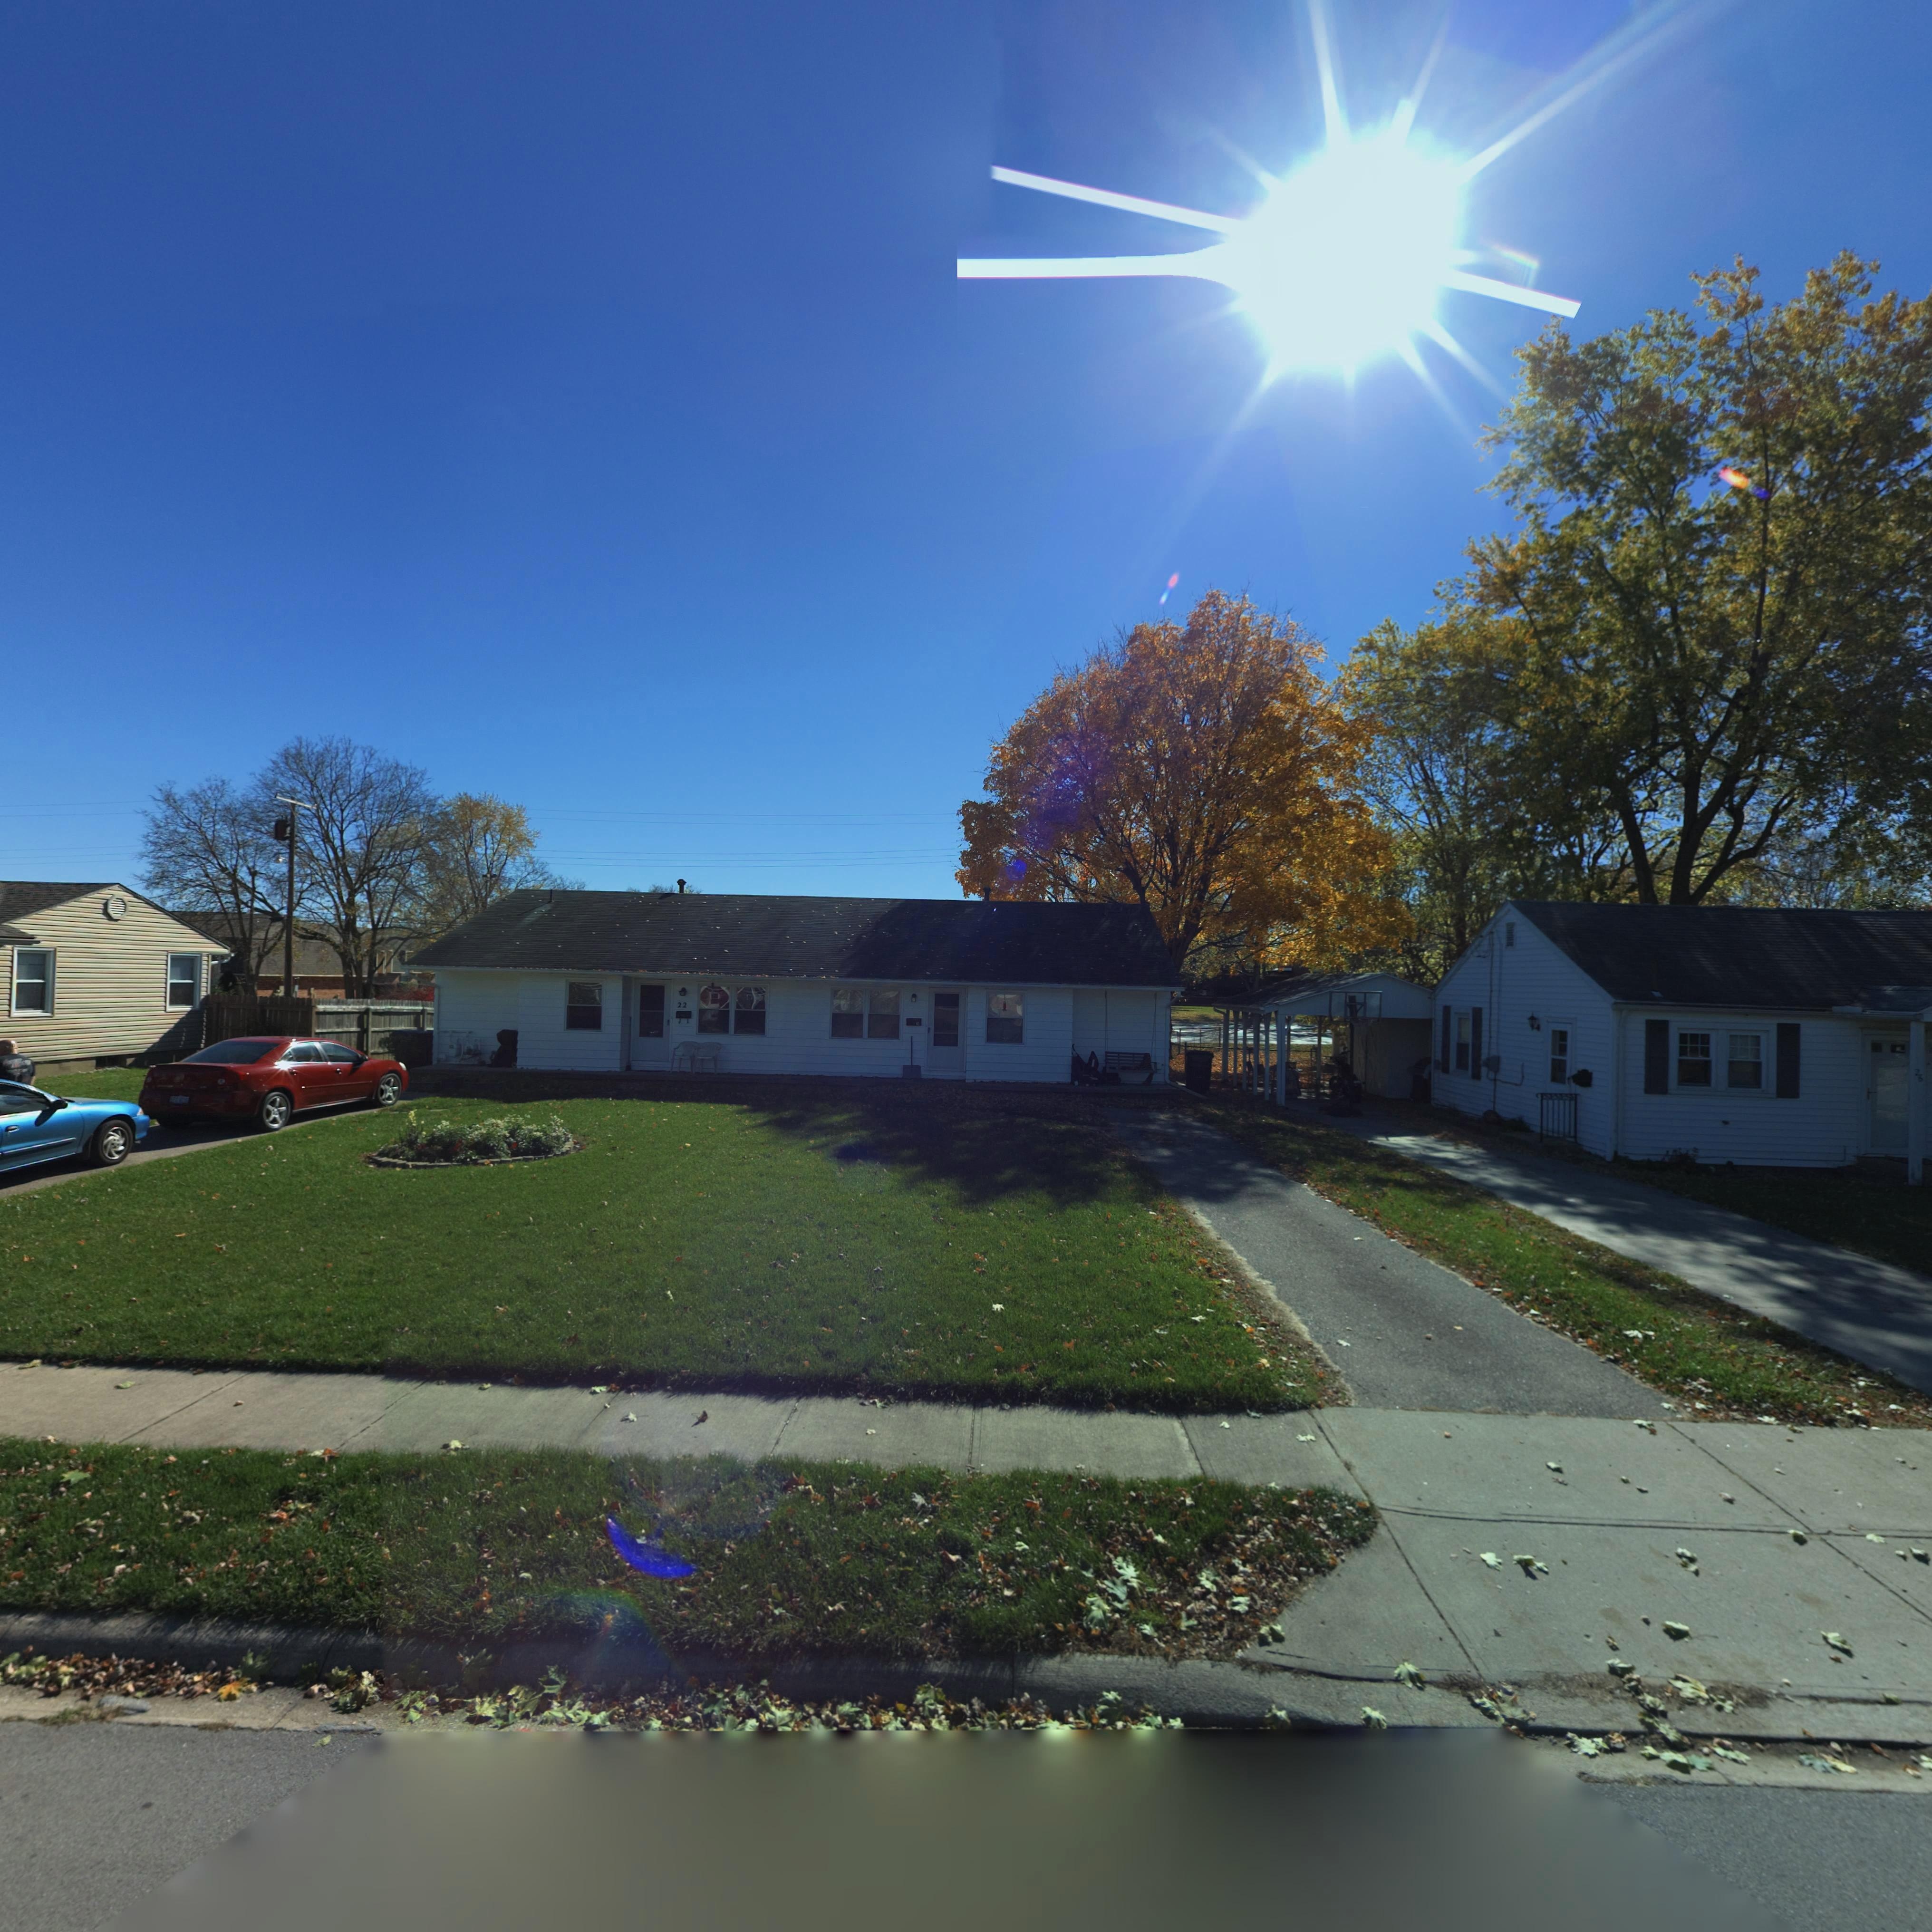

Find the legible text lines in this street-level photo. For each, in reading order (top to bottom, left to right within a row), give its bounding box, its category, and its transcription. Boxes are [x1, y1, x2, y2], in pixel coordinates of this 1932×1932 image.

[676, 1001, 688, 1009] StreetNumber: 22